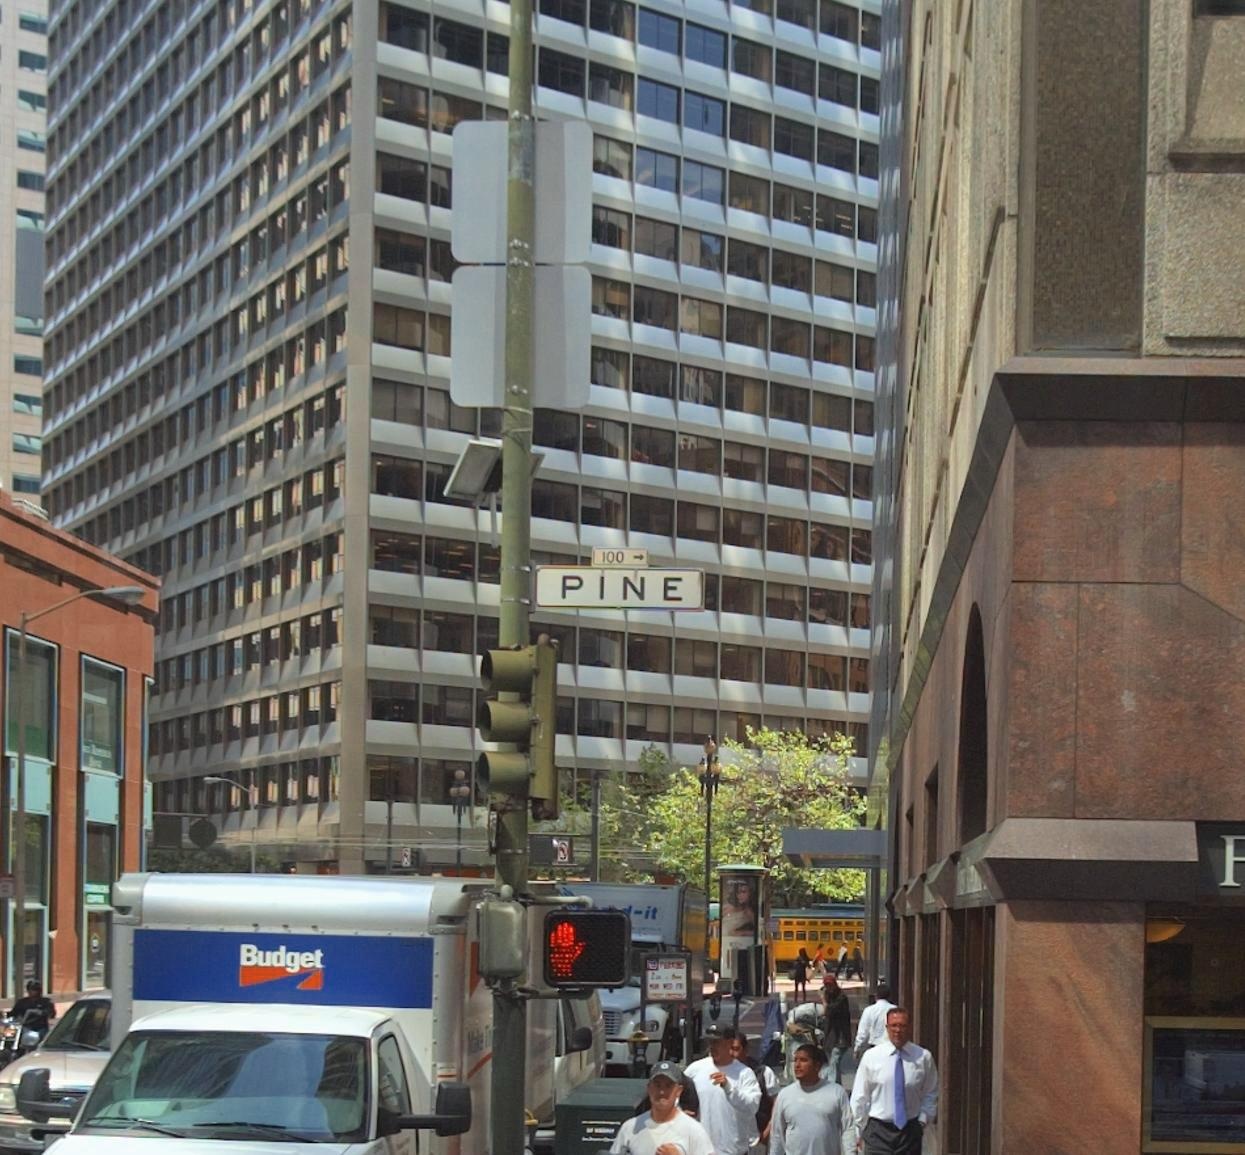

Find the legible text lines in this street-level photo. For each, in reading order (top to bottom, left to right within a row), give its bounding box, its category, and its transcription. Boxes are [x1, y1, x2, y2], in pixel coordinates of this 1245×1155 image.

[601, 549, 644, 565] StreetNumberRange: 100->
[560, 573, 683, 603] StreetName: PINE
[633, 905, 661, 921] None: -it
[237, 940, 325, 975] None: Budget